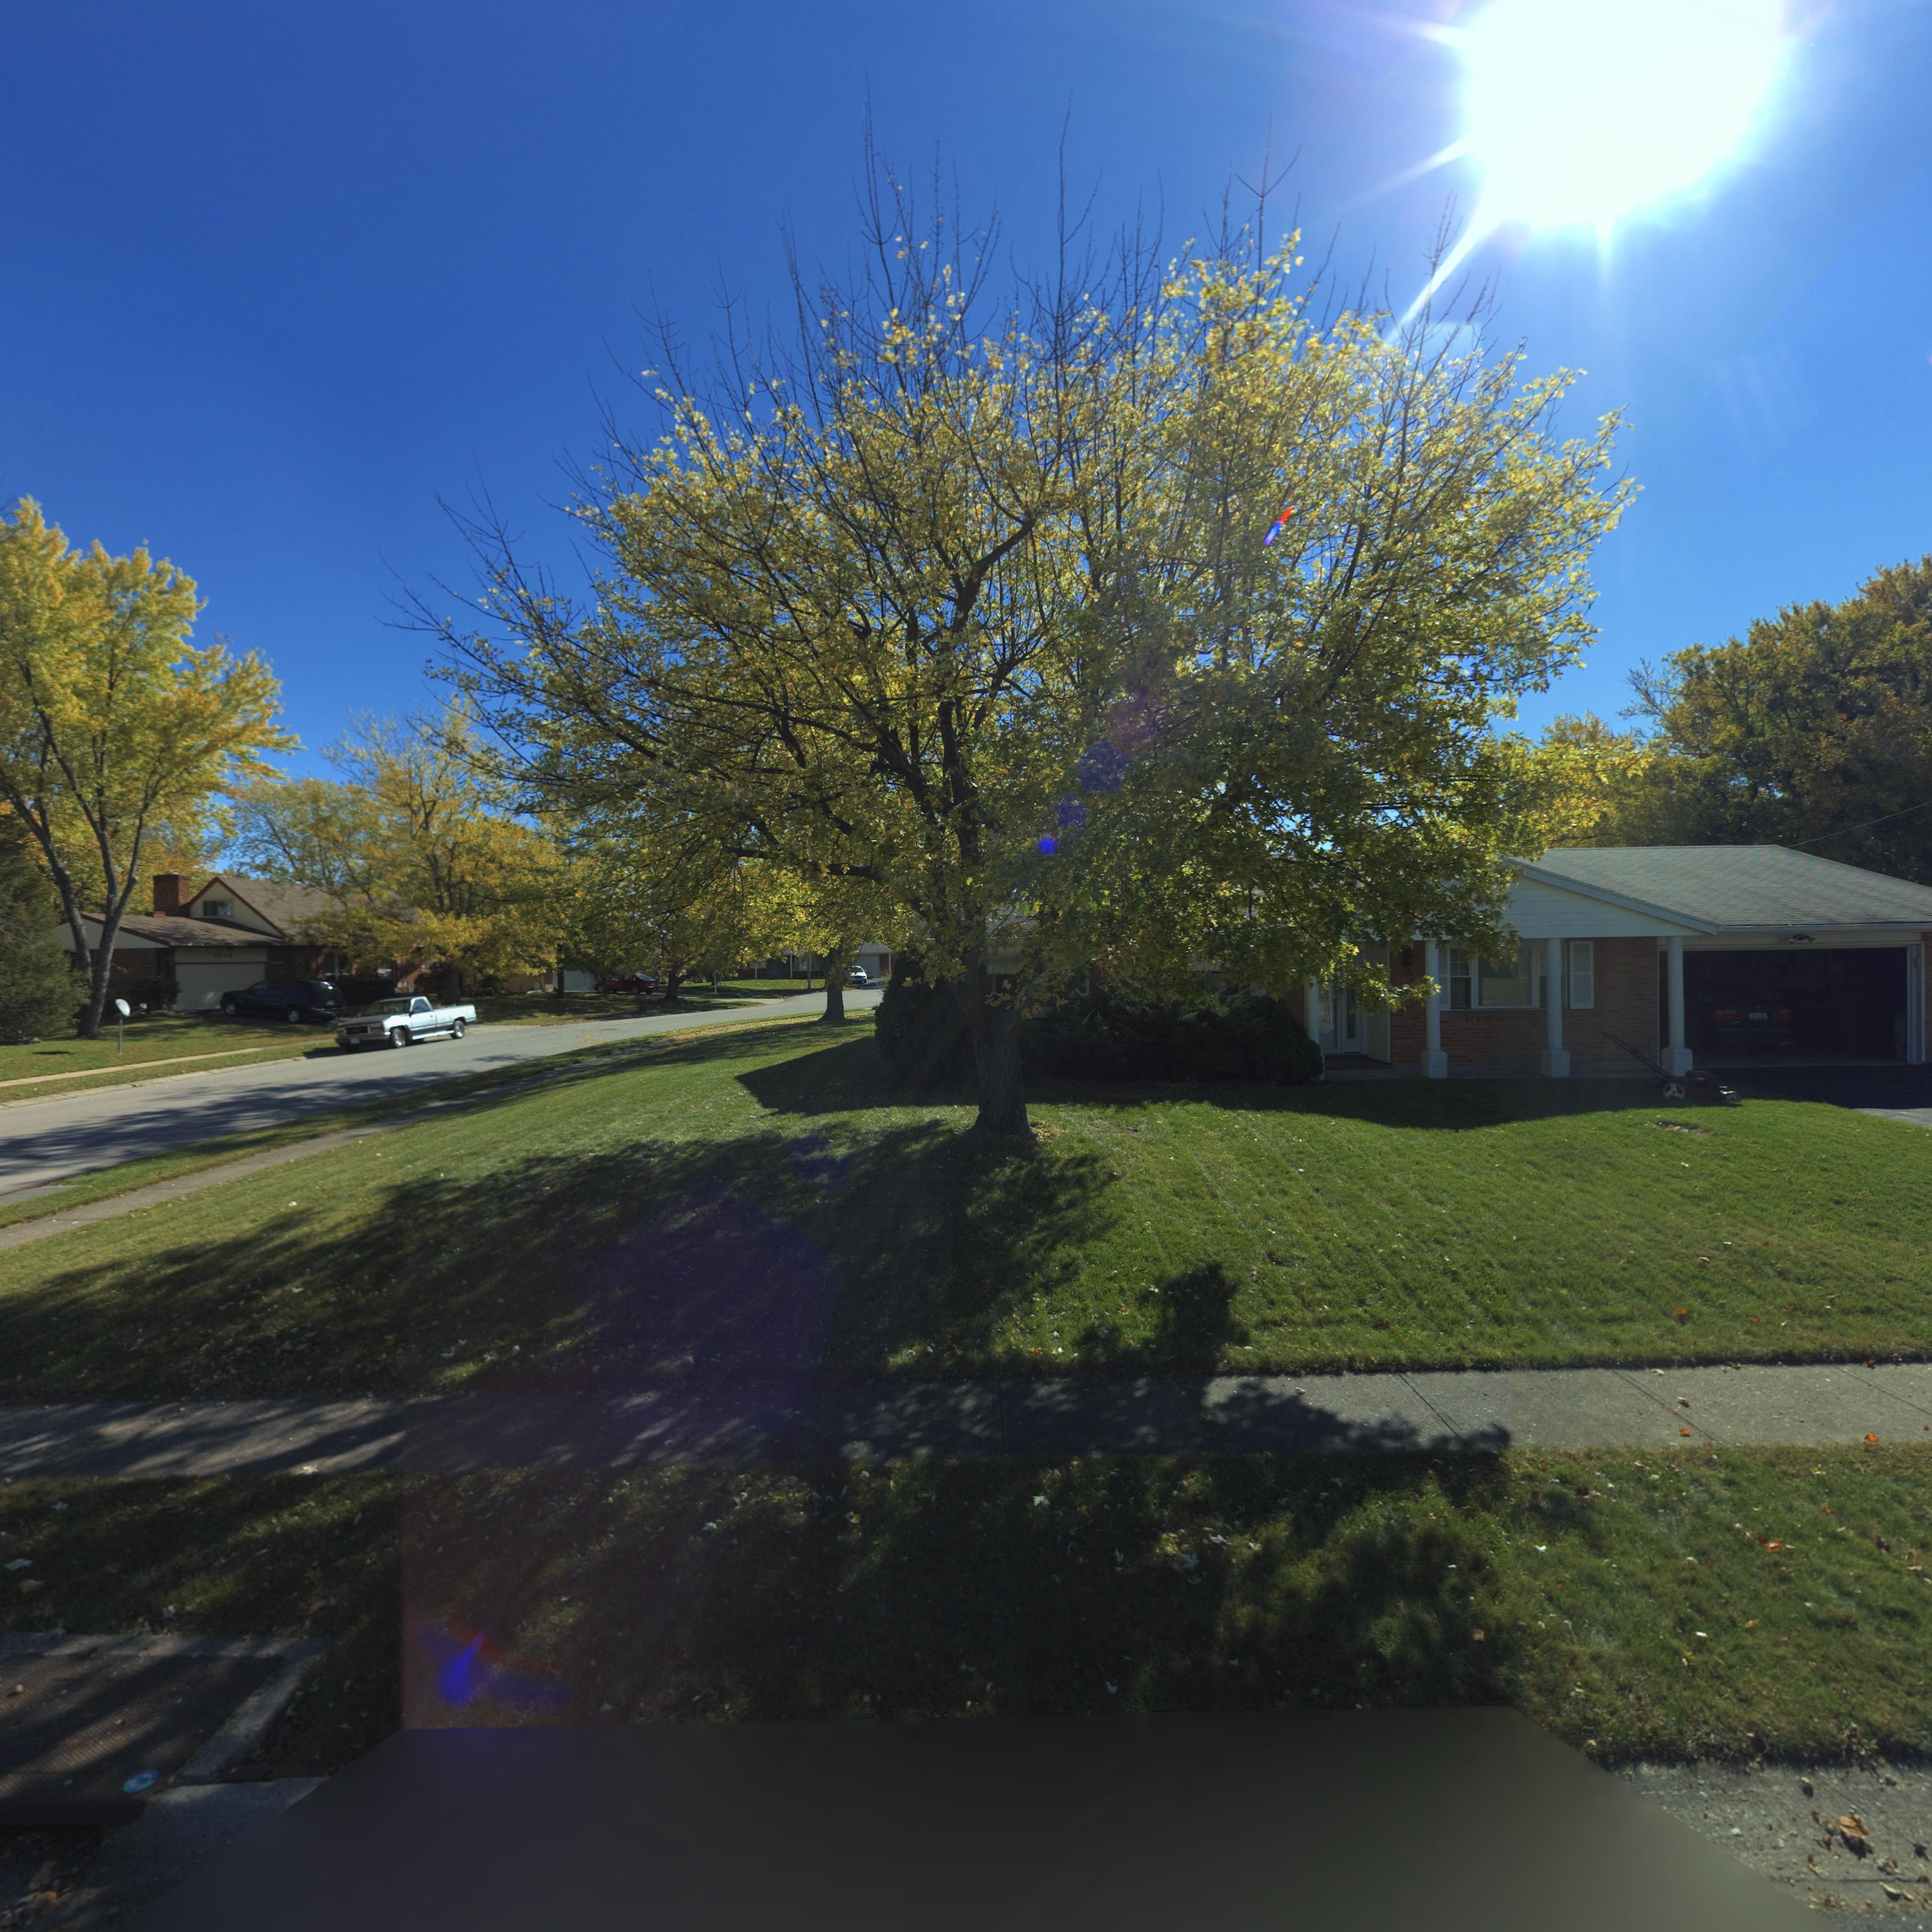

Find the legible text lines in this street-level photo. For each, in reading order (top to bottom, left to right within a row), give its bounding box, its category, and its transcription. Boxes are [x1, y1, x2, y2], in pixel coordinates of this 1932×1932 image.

[1778, 936, 1787, 943] StreetNumber: 10